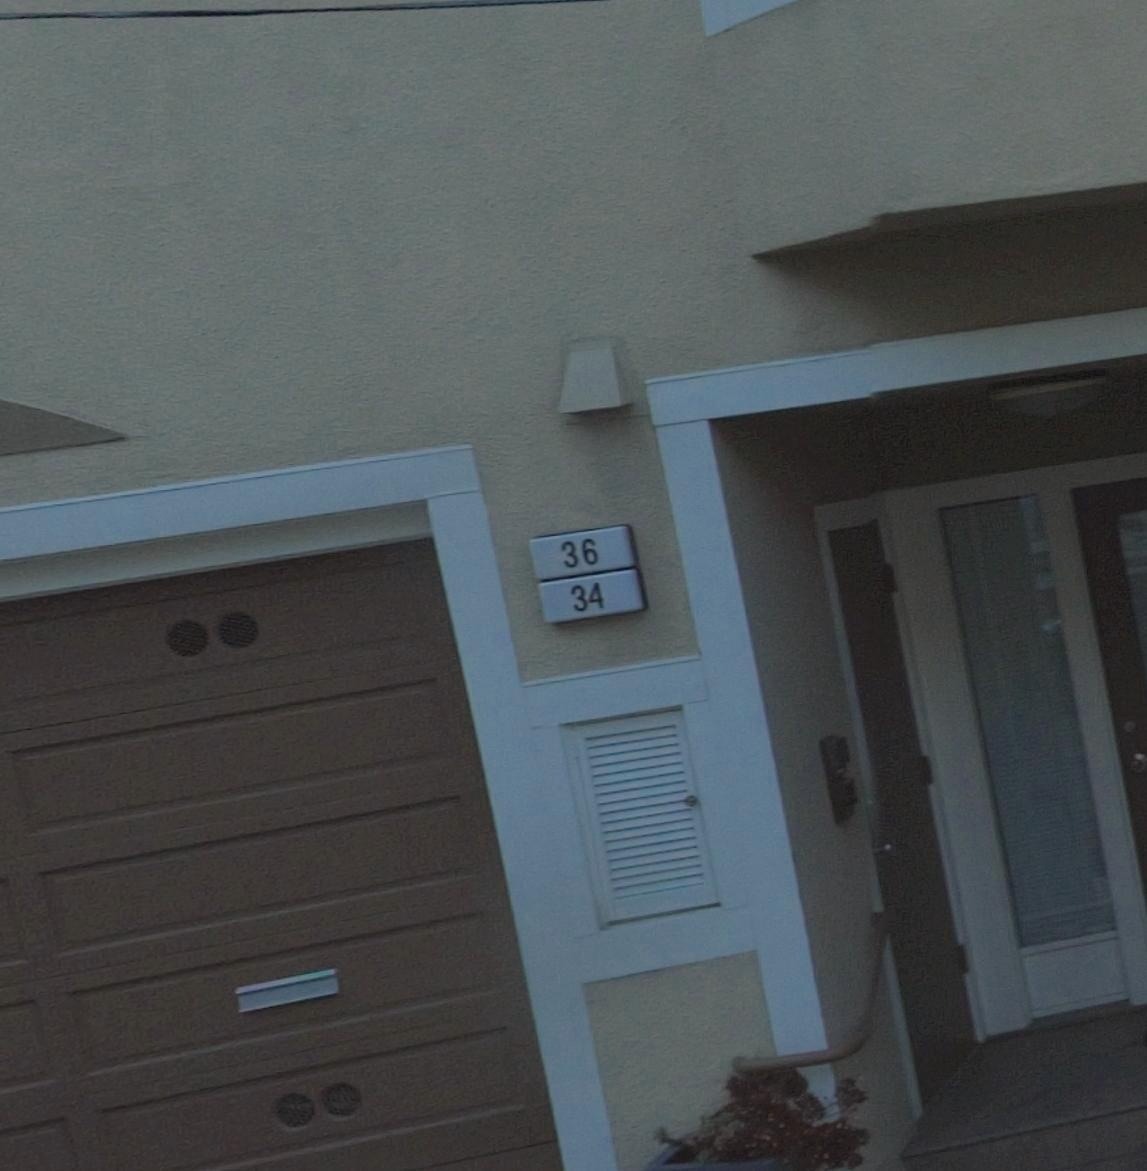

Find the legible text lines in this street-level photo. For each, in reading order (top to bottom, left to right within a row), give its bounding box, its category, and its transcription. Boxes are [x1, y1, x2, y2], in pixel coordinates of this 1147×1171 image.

[556, 534, 601, 572] StreetNumber: 36
[567, 579, 607, 617] StreetNumber: 34